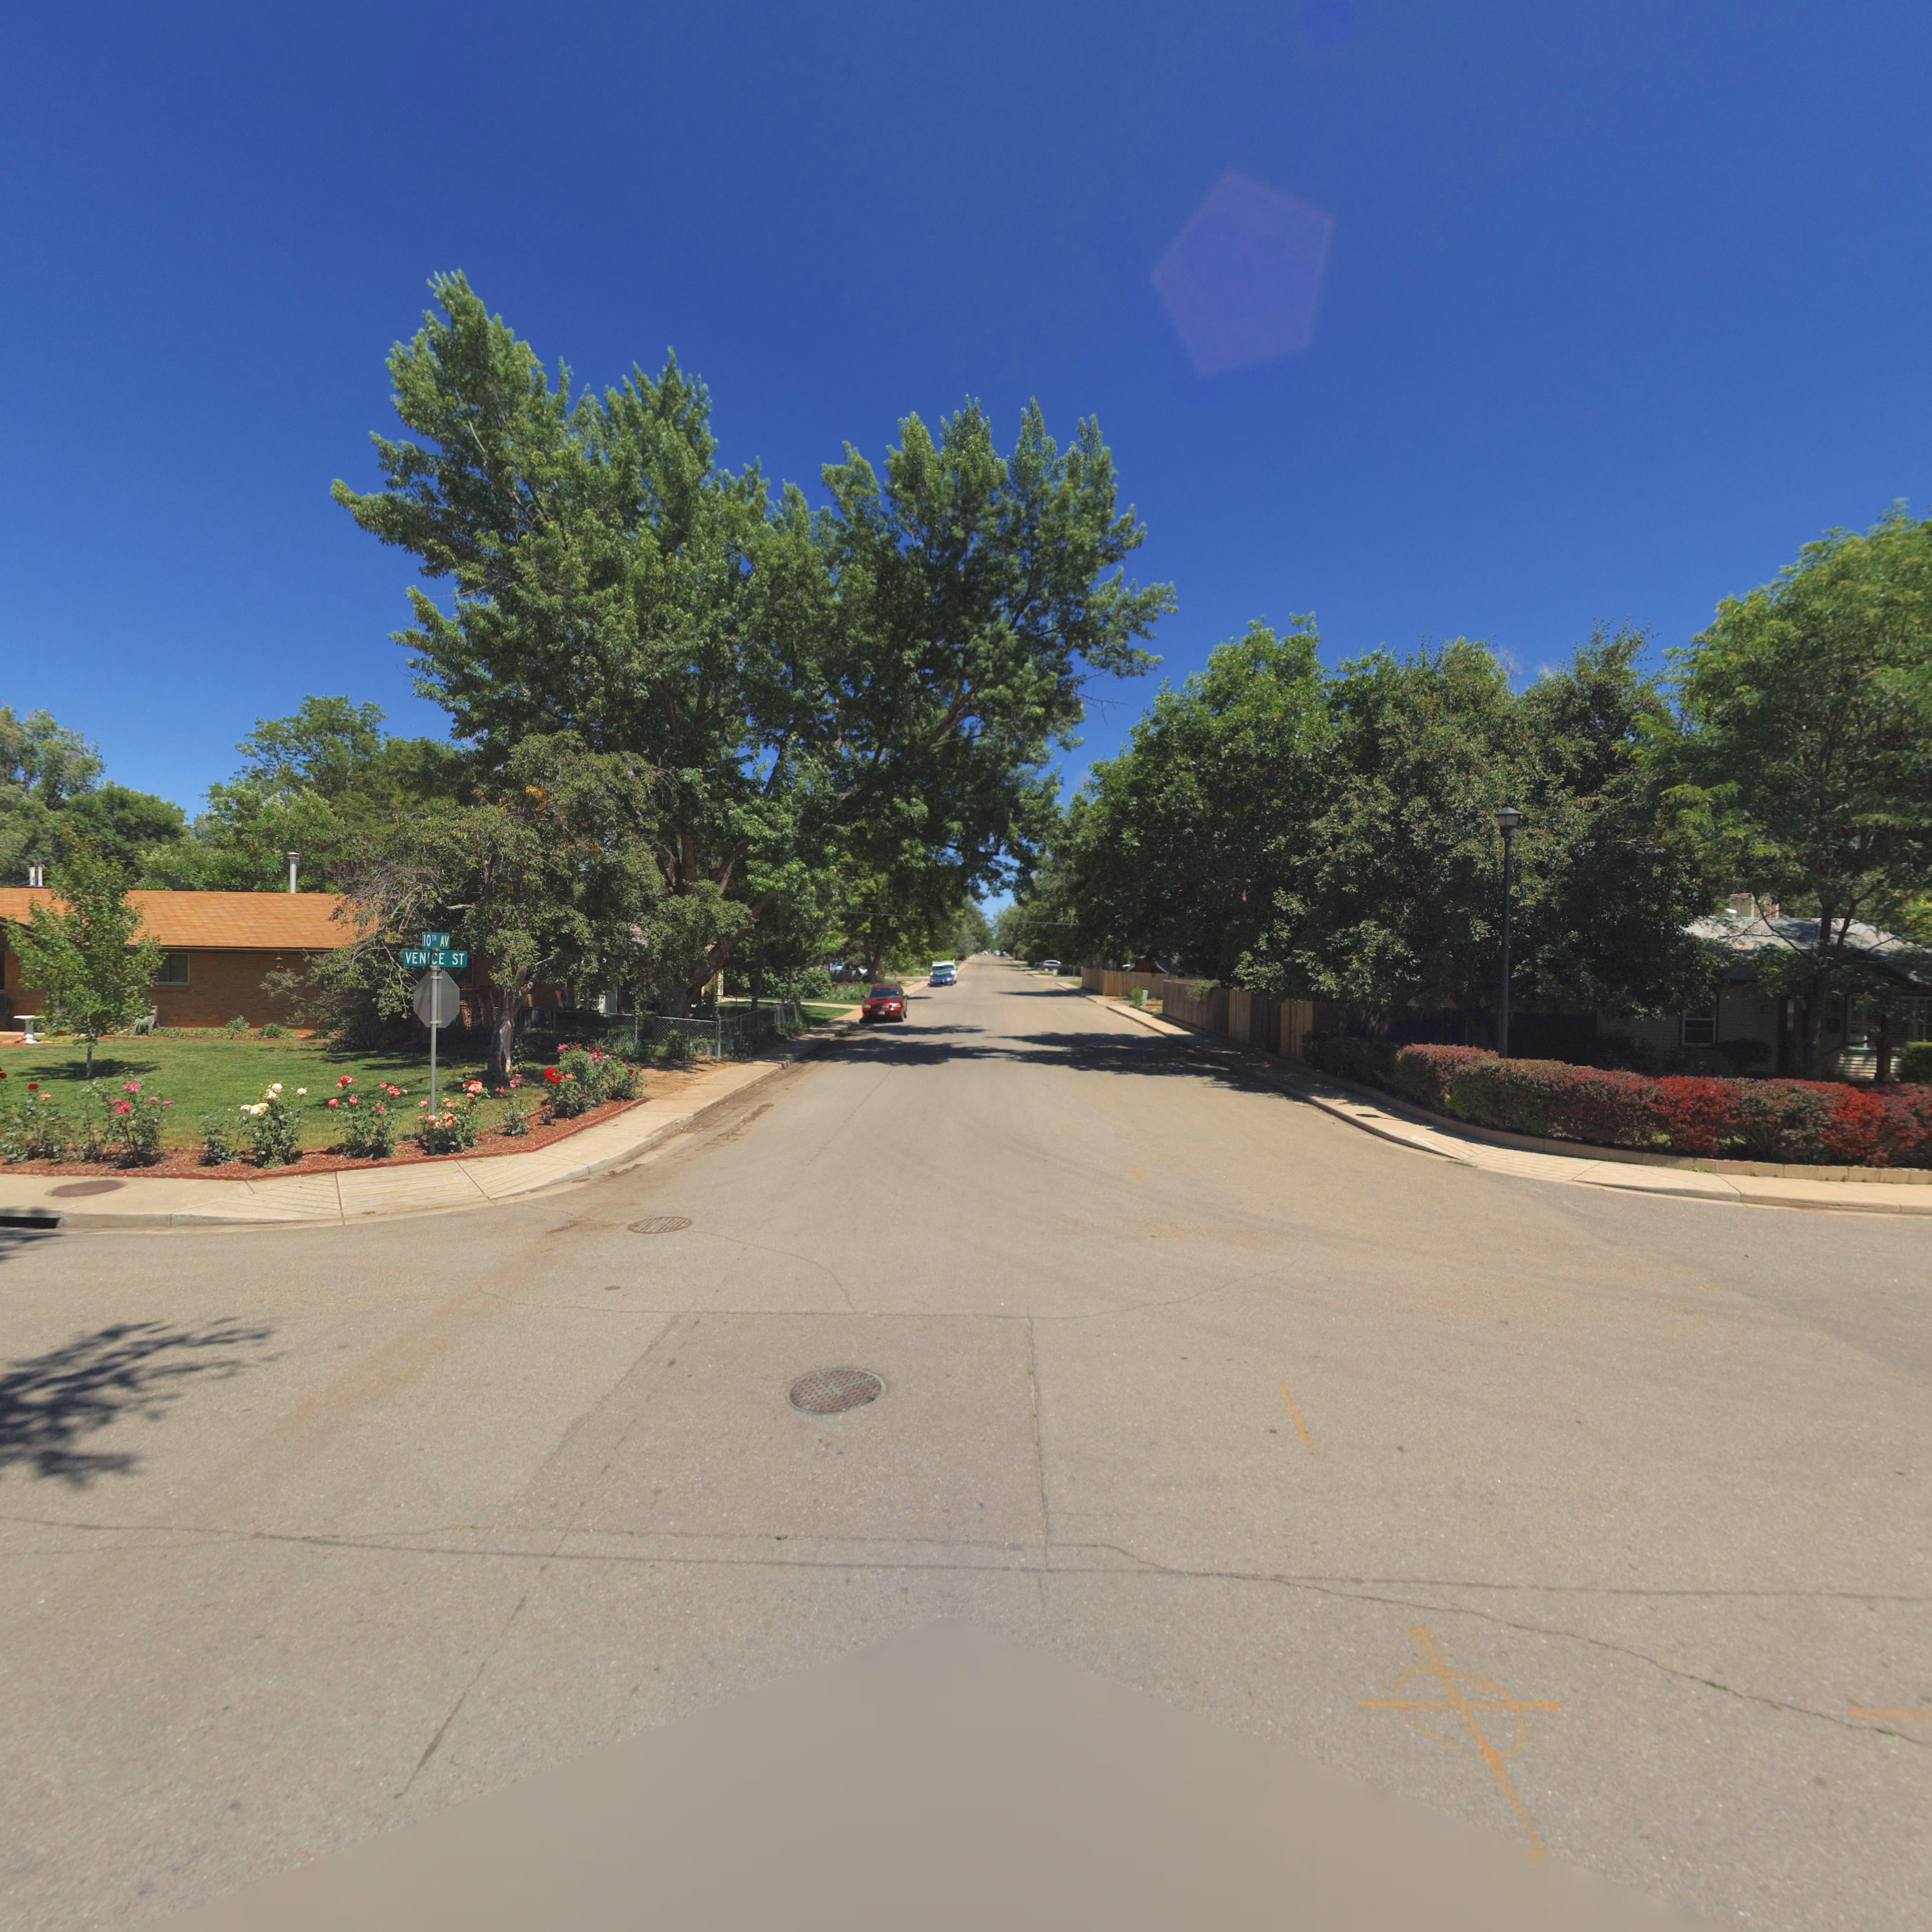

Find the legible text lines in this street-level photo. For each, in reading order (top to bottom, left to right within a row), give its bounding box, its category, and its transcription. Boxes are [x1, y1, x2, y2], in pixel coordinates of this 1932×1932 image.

[423, 934, 449, 947] StreetName: 10TH AV
[404, 952, 465, 965] StreetName: VENICE ST
[1761, 1005, 1774, 1014] StreetNumber: 946